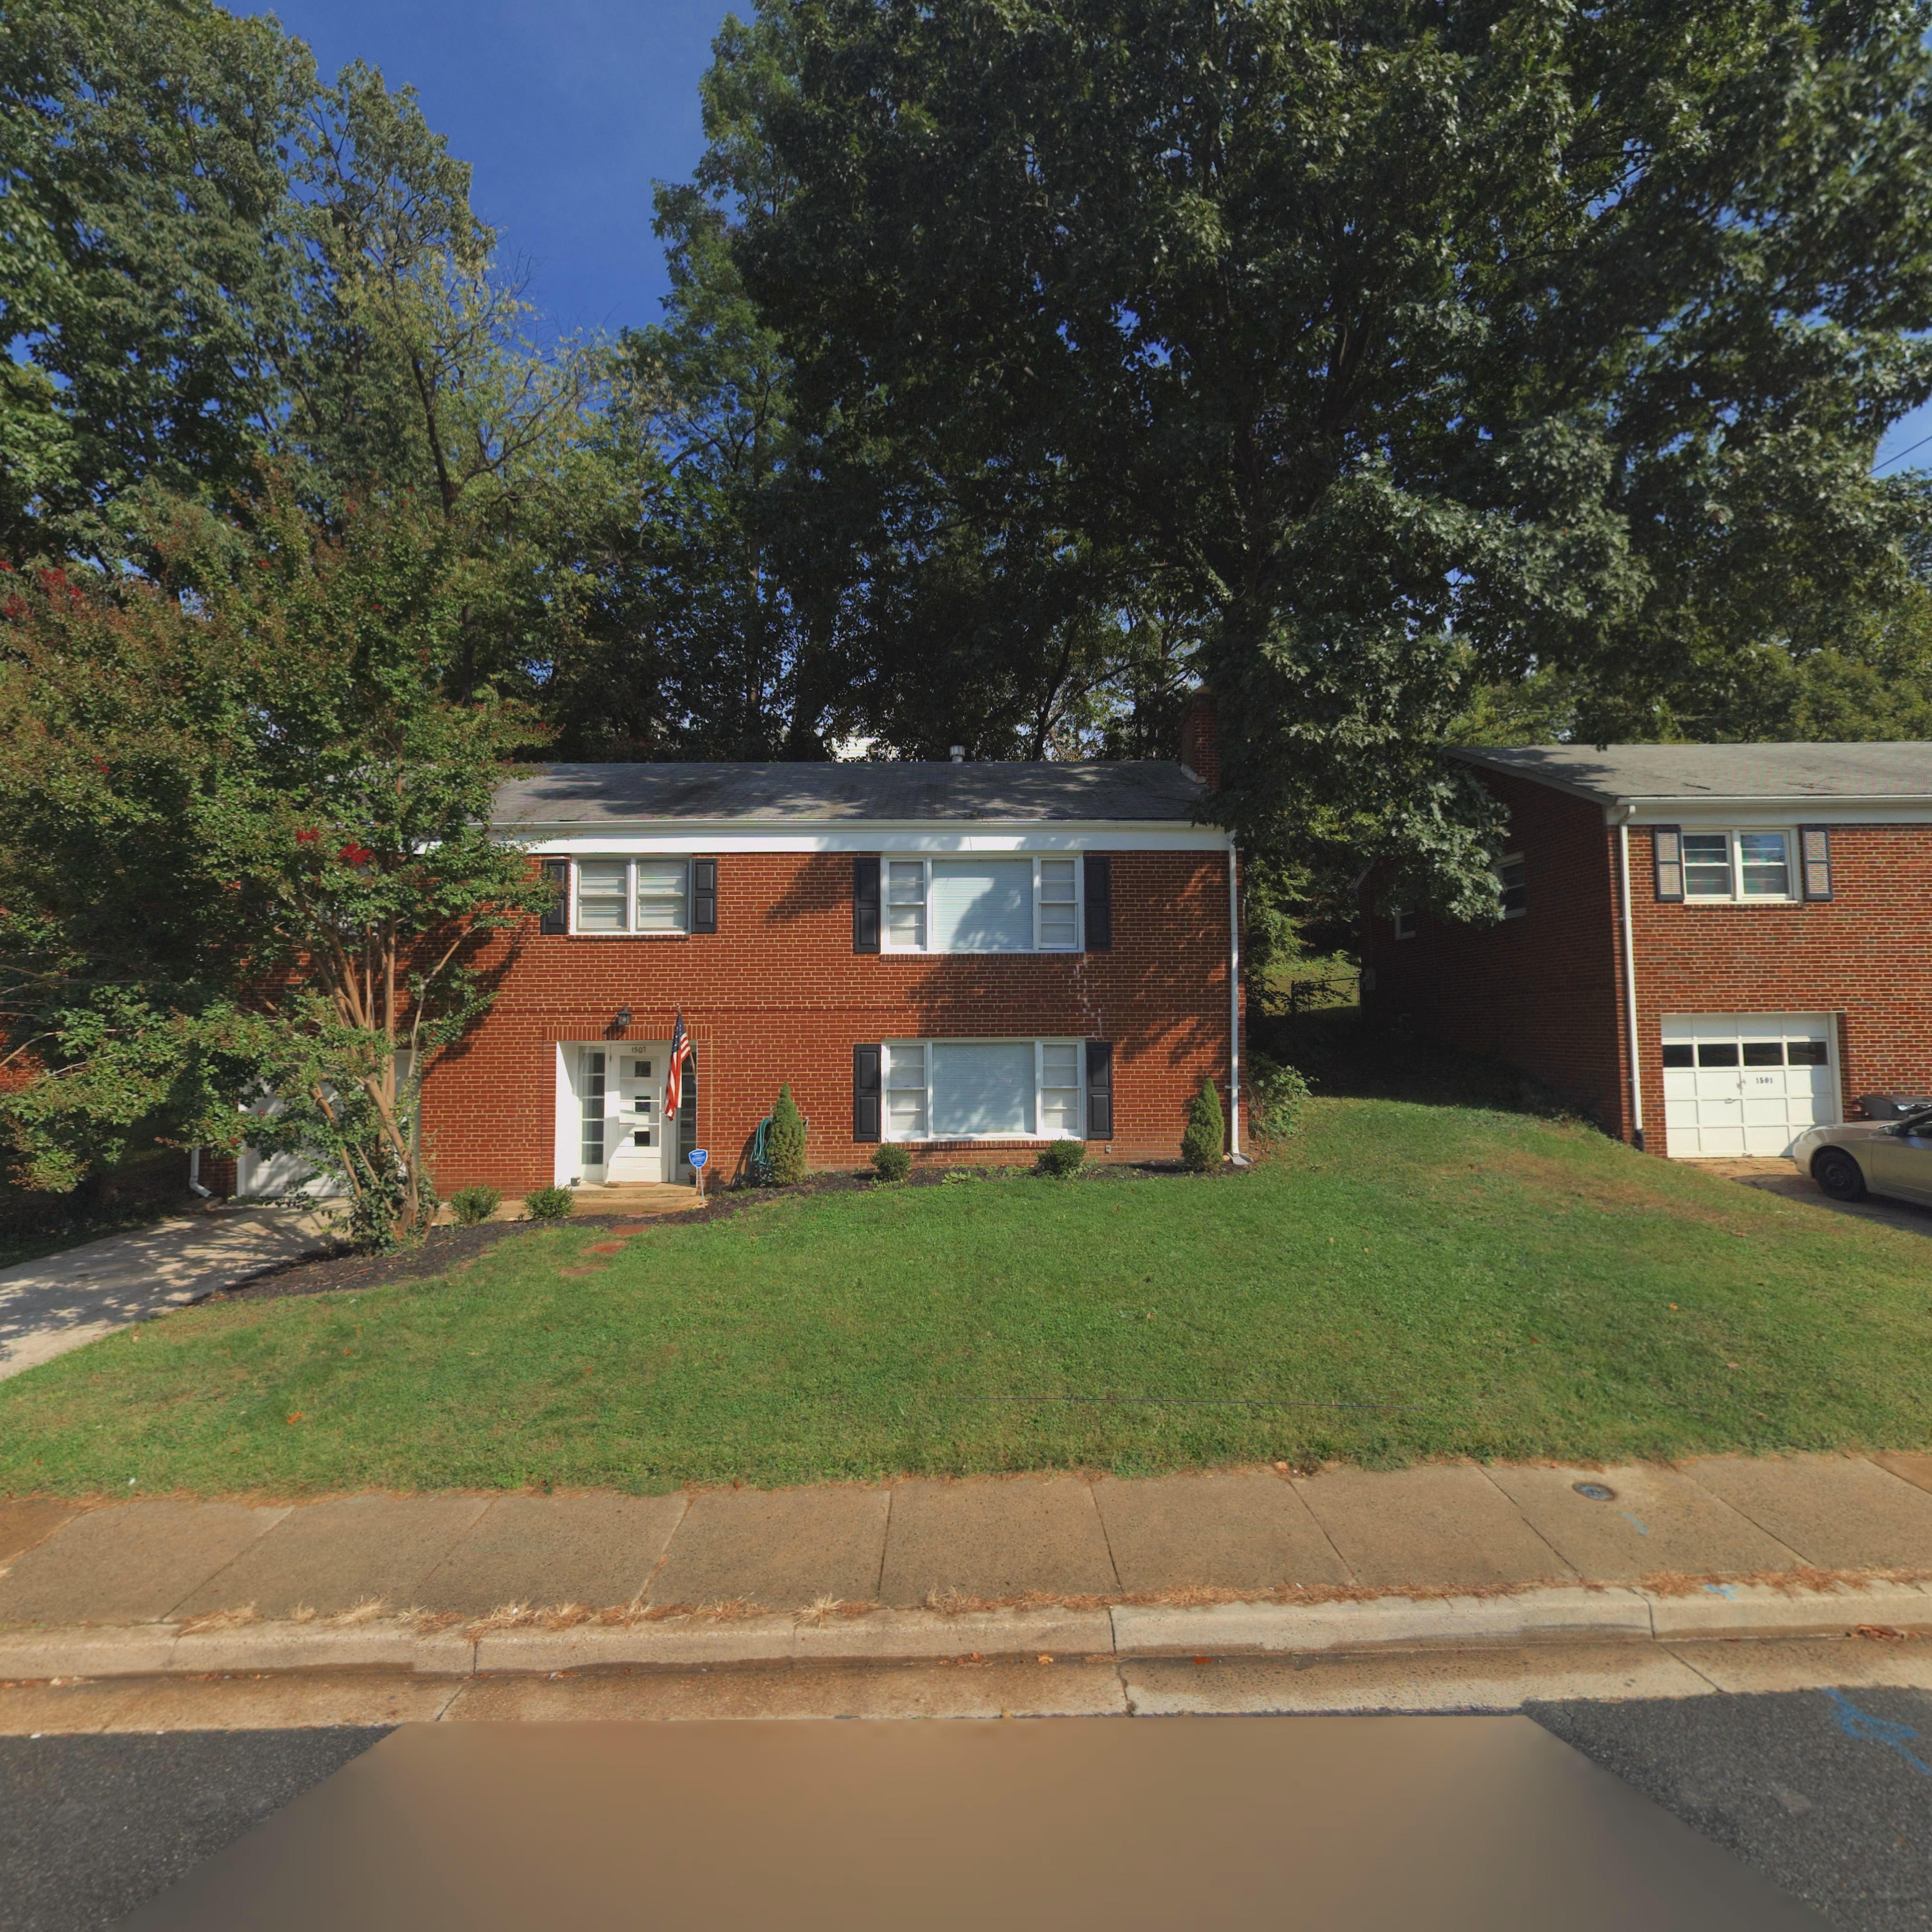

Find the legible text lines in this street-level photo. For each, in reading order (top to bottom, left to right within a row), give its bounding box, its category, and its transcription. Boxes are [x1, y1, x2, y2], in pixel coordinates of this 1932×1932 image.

[630, 1045, 647, 1054] StreetNumber: 1507
[1755, 1076, 1774, 1085] StreetNumber: 1501